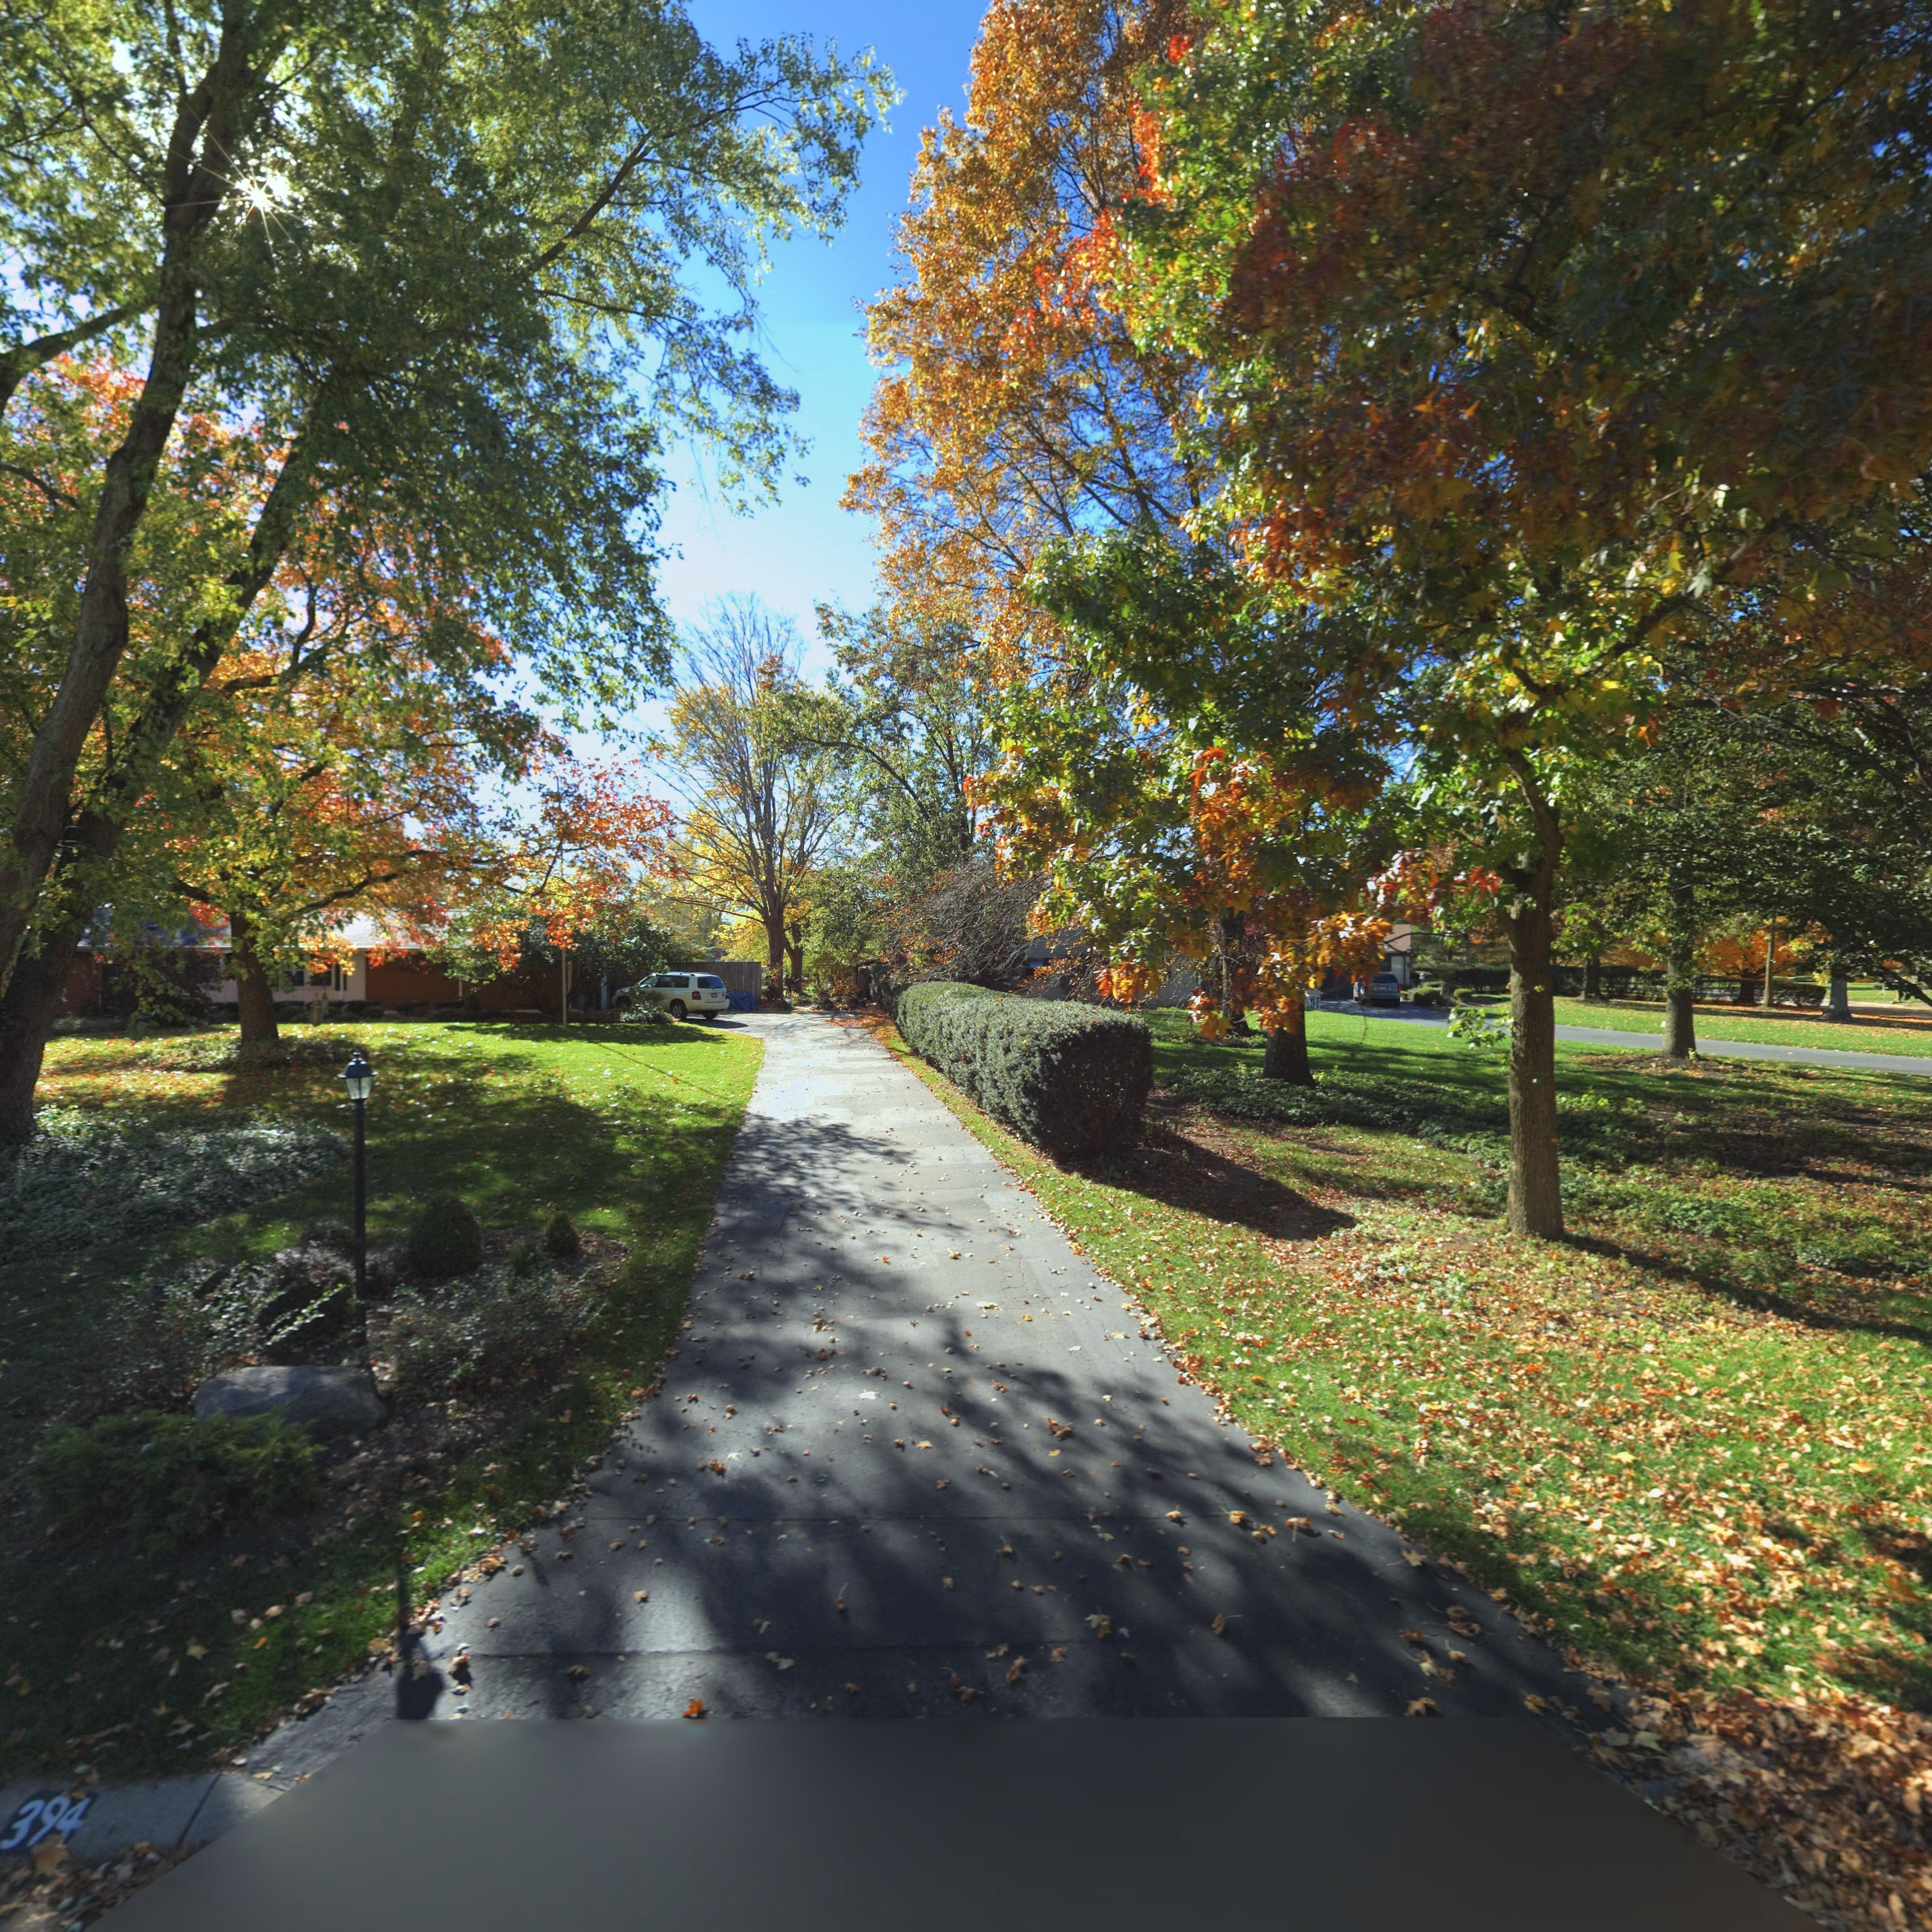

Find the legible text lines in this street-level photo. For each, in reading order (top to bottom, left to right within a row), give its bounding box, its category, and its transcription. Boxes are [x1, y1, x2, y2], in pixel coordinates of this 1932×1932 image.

[0, 1793, 94, 1852] StreetNumber: 394